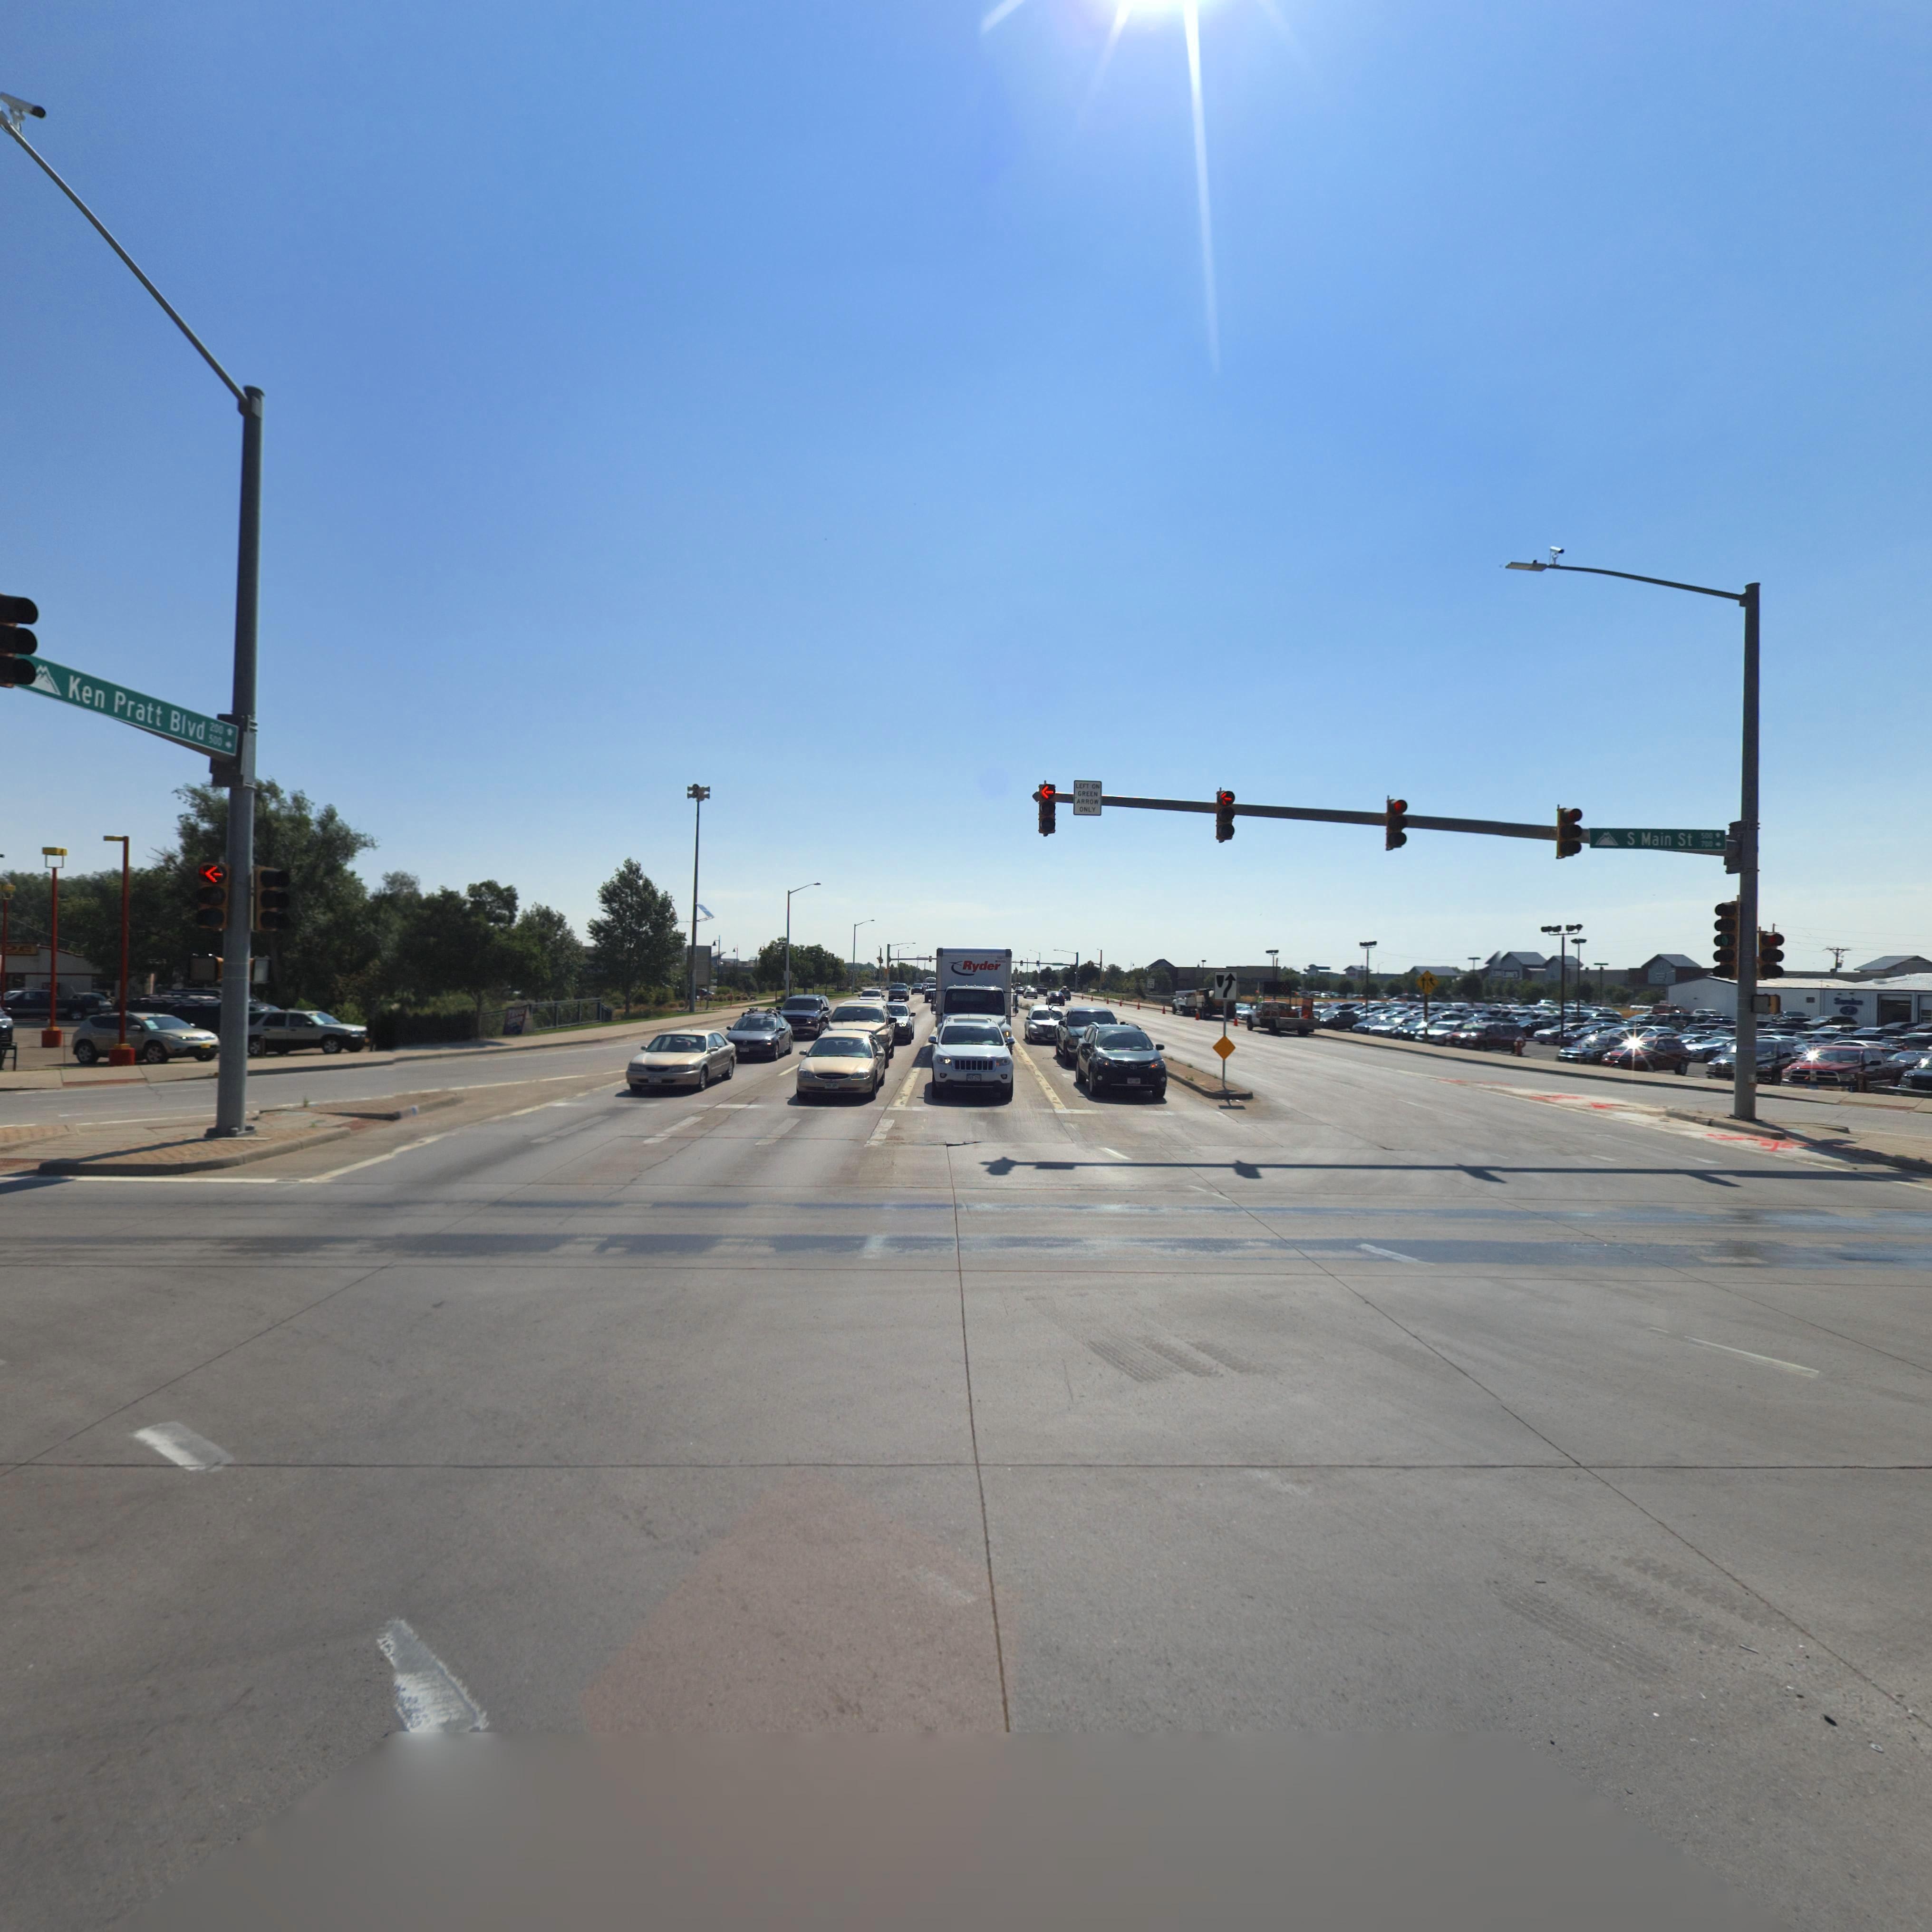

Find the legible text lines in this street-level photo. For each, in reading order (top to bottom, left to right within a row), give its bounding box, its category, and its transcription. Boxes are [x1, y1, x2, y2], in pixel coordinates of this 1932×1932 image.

[68, 673, 206, 742] StreetName: Ken Pratt Blvd
[208, 722, 224, 734] StreetNumberRange: 200
[208, 733, 232, 749] StreetNumberRange: 500->
[1626, 831, 1692, 847] StreetName: S Main St
[1701, 832, 1713, 839] StreetNumberRange: 500
[1700, 840, 1722, 847] StreetNumberRange: 700->
[17, 945, 33, 951] BusinessName: E
[1502, 970, 1518, 978] BusinessName: L****